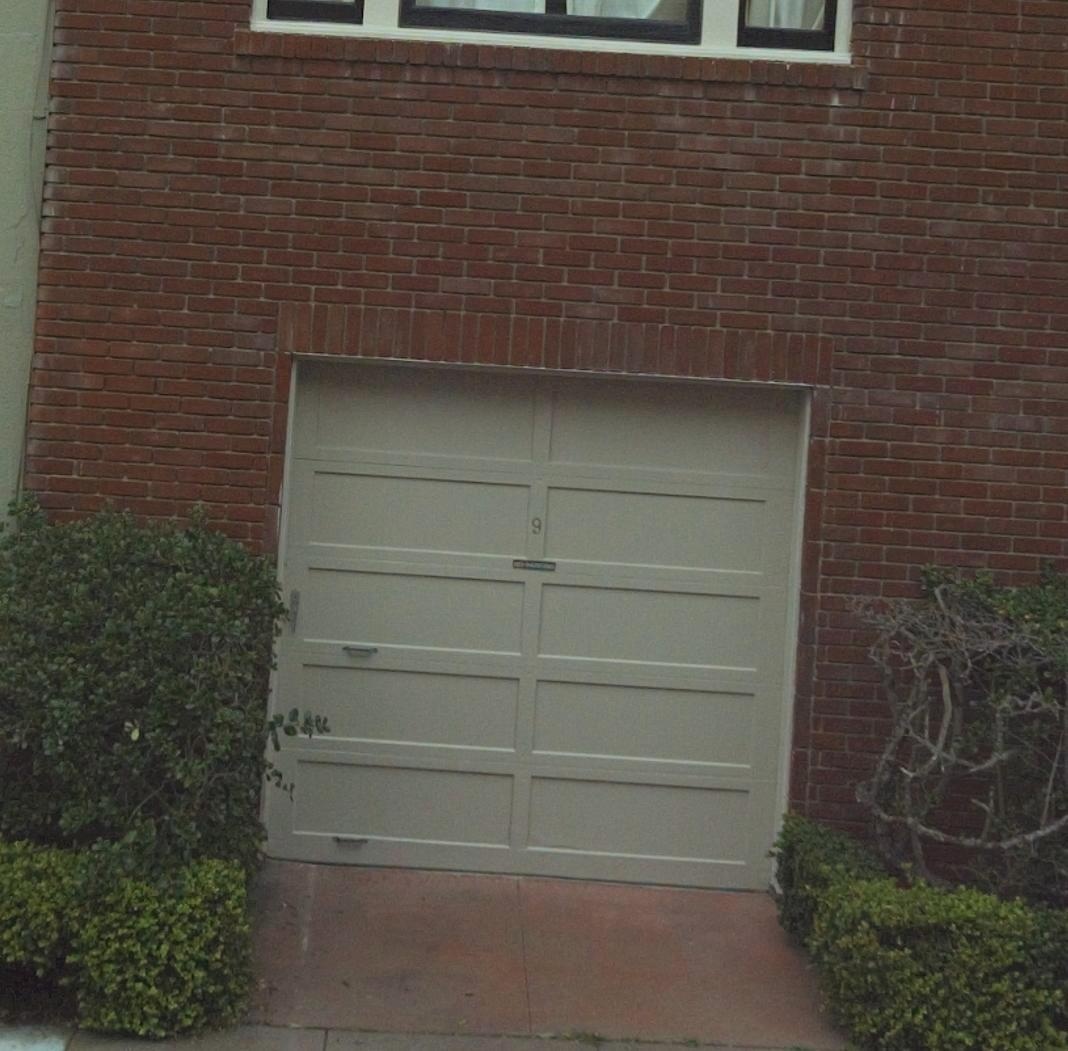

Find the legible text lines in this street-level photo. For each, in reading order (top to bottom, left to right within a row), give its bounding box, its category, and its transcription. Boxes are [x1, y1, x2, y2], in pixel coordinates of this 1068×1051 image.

[530, 515, 543, 537] StreetNumber: 9